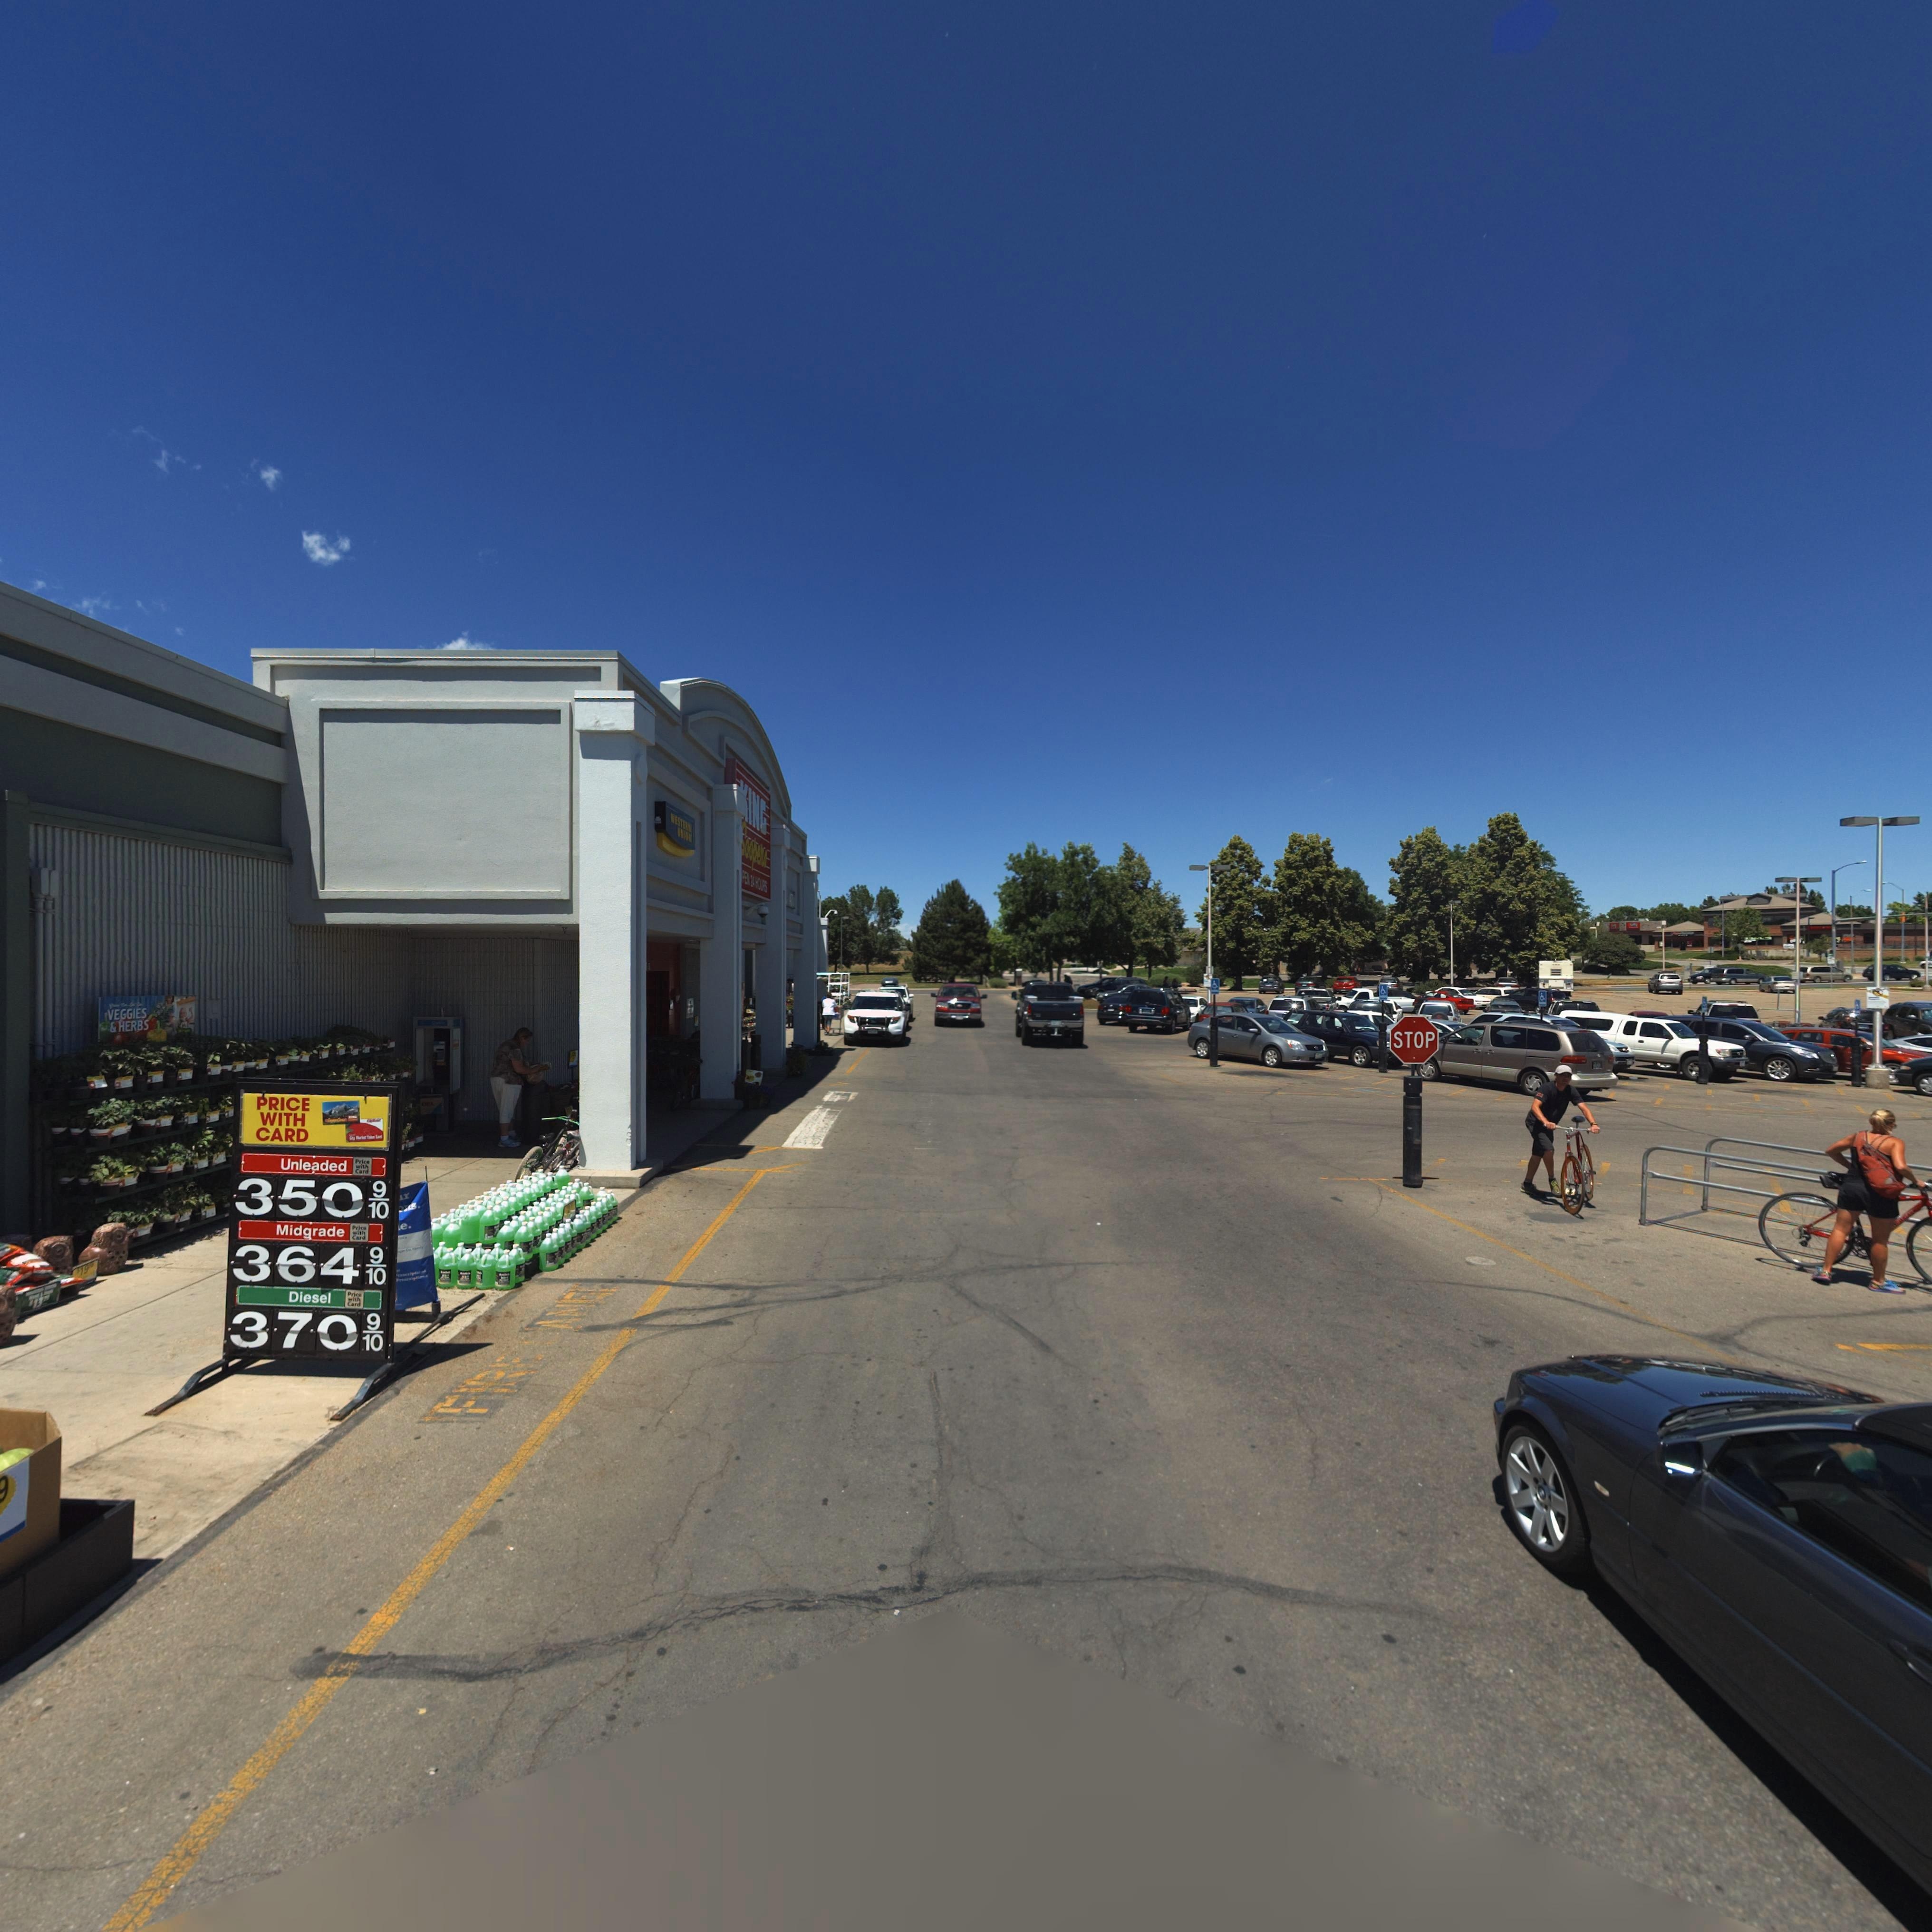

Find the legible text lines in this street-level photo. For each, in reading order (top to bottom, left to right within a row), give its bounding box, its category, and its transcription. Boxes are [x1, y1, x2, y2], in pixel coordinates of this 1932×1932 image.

[669, 811, 691, 832] BusinessName: WESTERN
[676, 827, 691, 842] BusinessName: UNION
[739, 778, 766, 835] BusinessName: *ING
[741, 821, 767, 870] BusinessName: *oopers